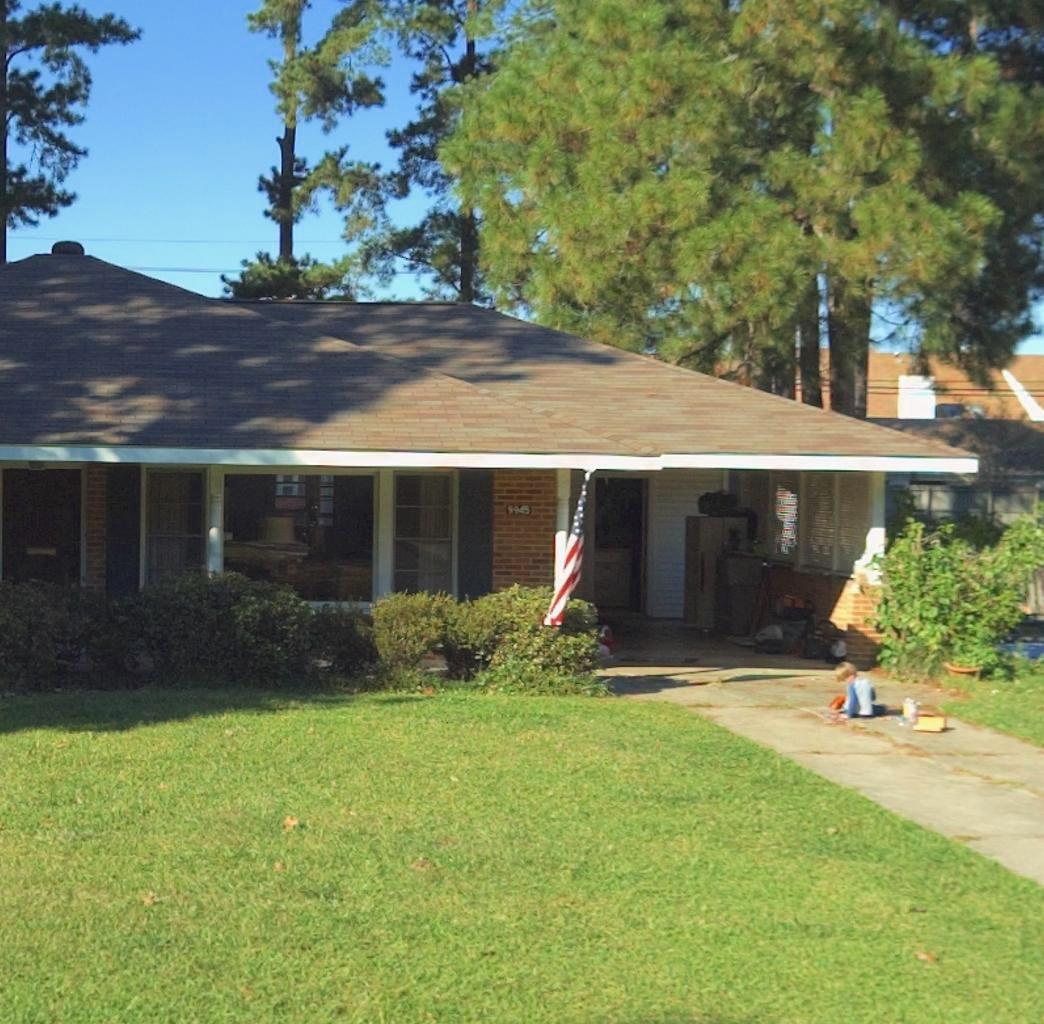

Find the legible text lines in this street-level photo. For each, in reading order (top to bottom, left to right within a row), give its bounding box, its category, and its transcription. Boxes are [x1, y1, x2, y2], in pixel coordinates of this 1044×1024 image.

[506, 504, 530, 515] StreetNumber: 9945